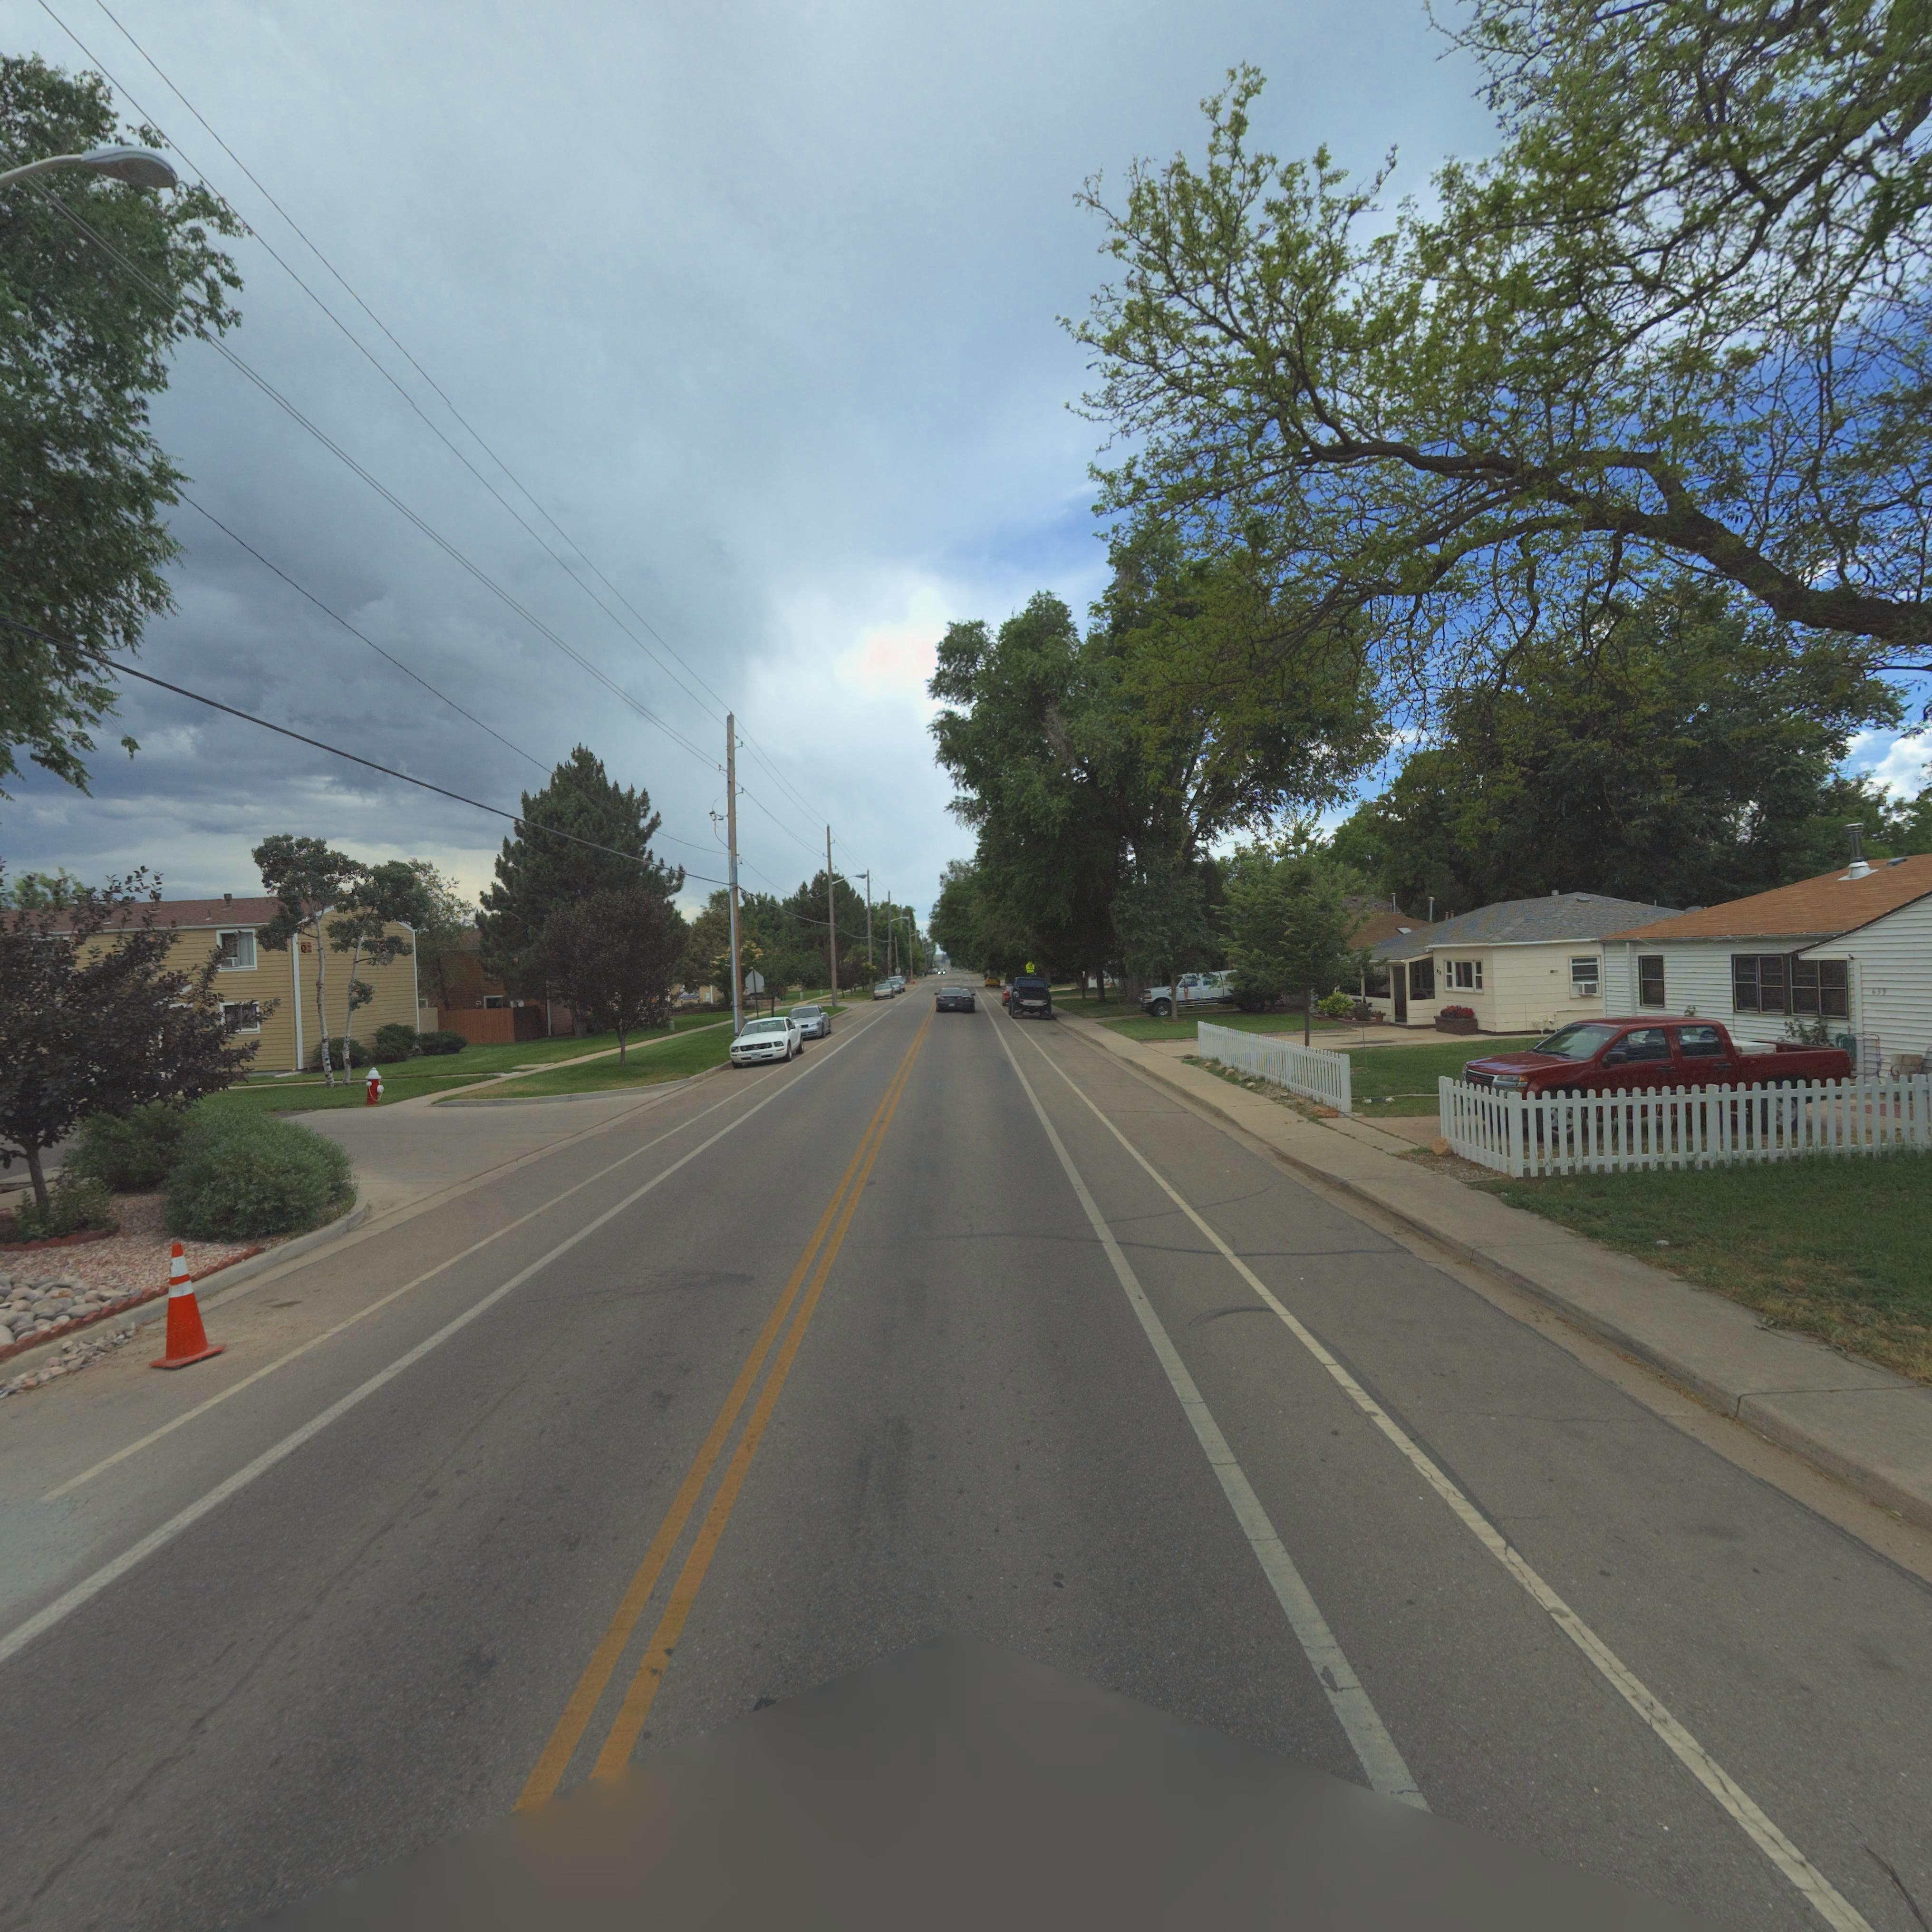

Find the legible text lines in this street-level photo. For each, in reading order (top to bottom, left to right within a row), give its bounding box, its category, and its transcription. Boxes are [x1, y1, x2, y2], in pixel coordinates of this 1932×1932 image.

[1871, 987, 1886, 995] StreetNumber: 633